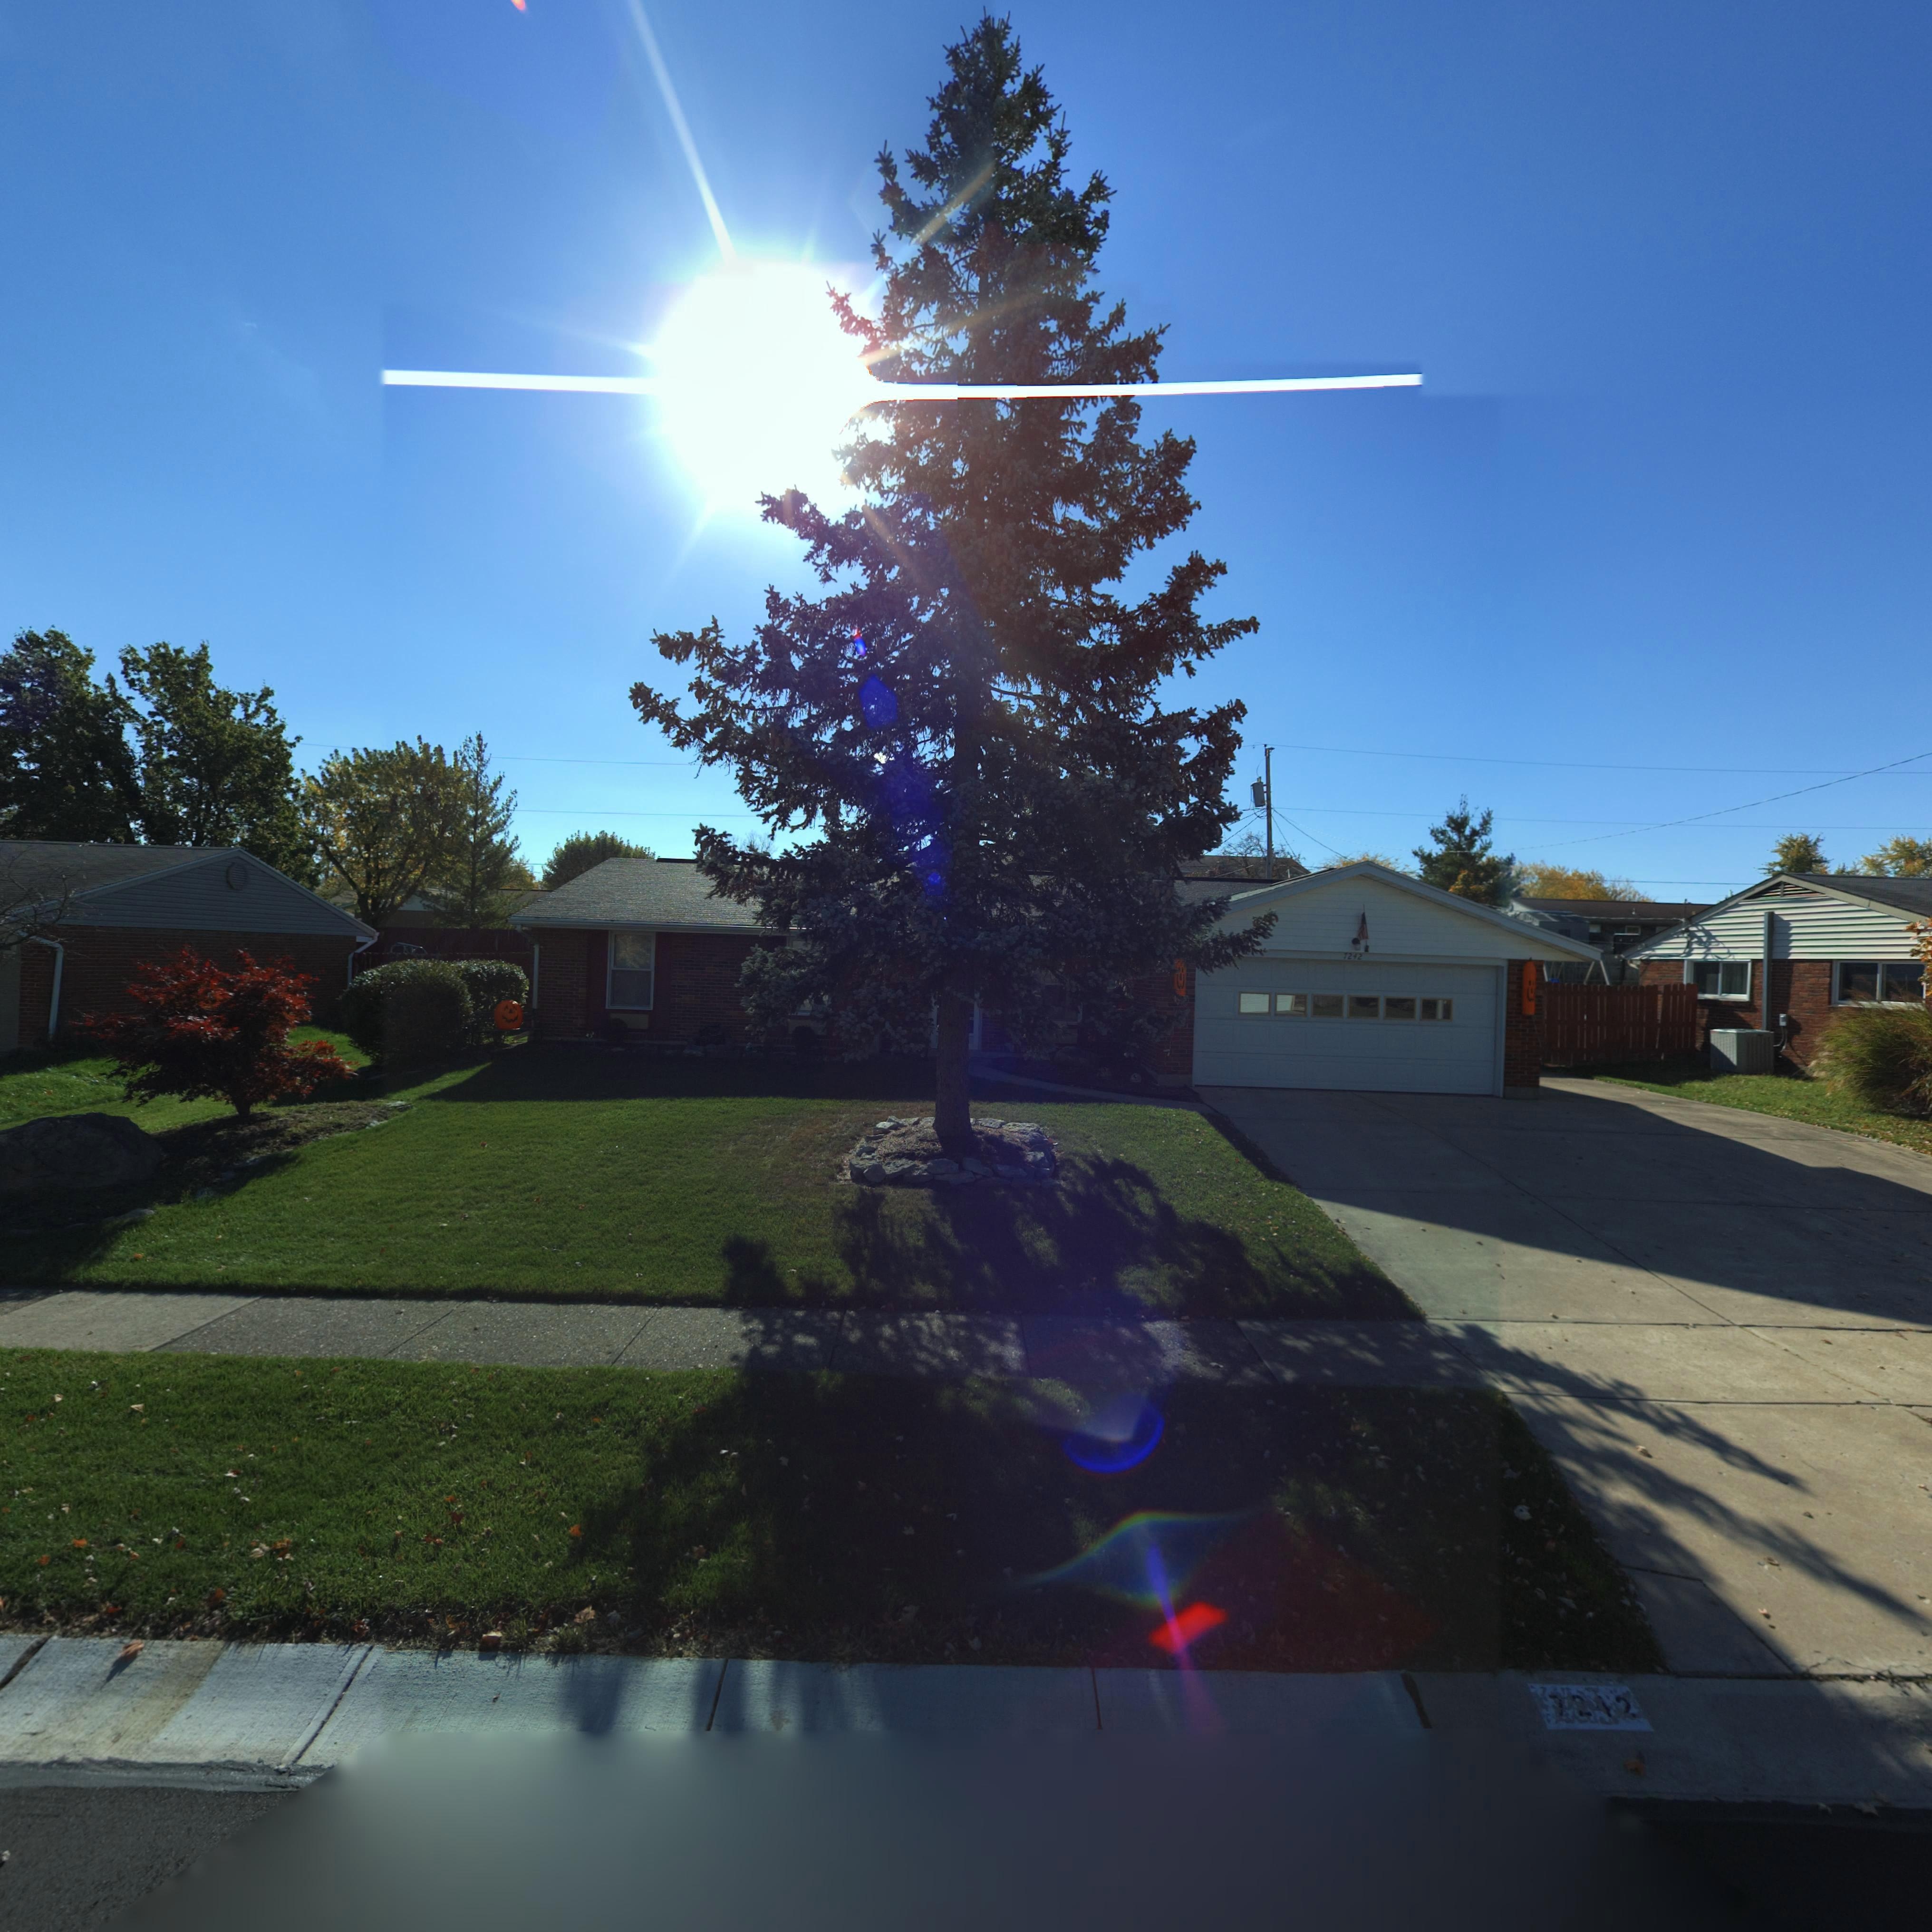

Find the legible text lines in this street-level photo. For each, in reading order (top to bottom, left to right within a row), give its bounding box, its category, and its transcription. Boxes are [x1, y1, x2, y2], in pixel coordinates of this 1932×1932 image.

[1343, 951, 1363, 961] StreetNumber: 7242
[1545, 1692, 1642, 1719] StreetNumber: 7242